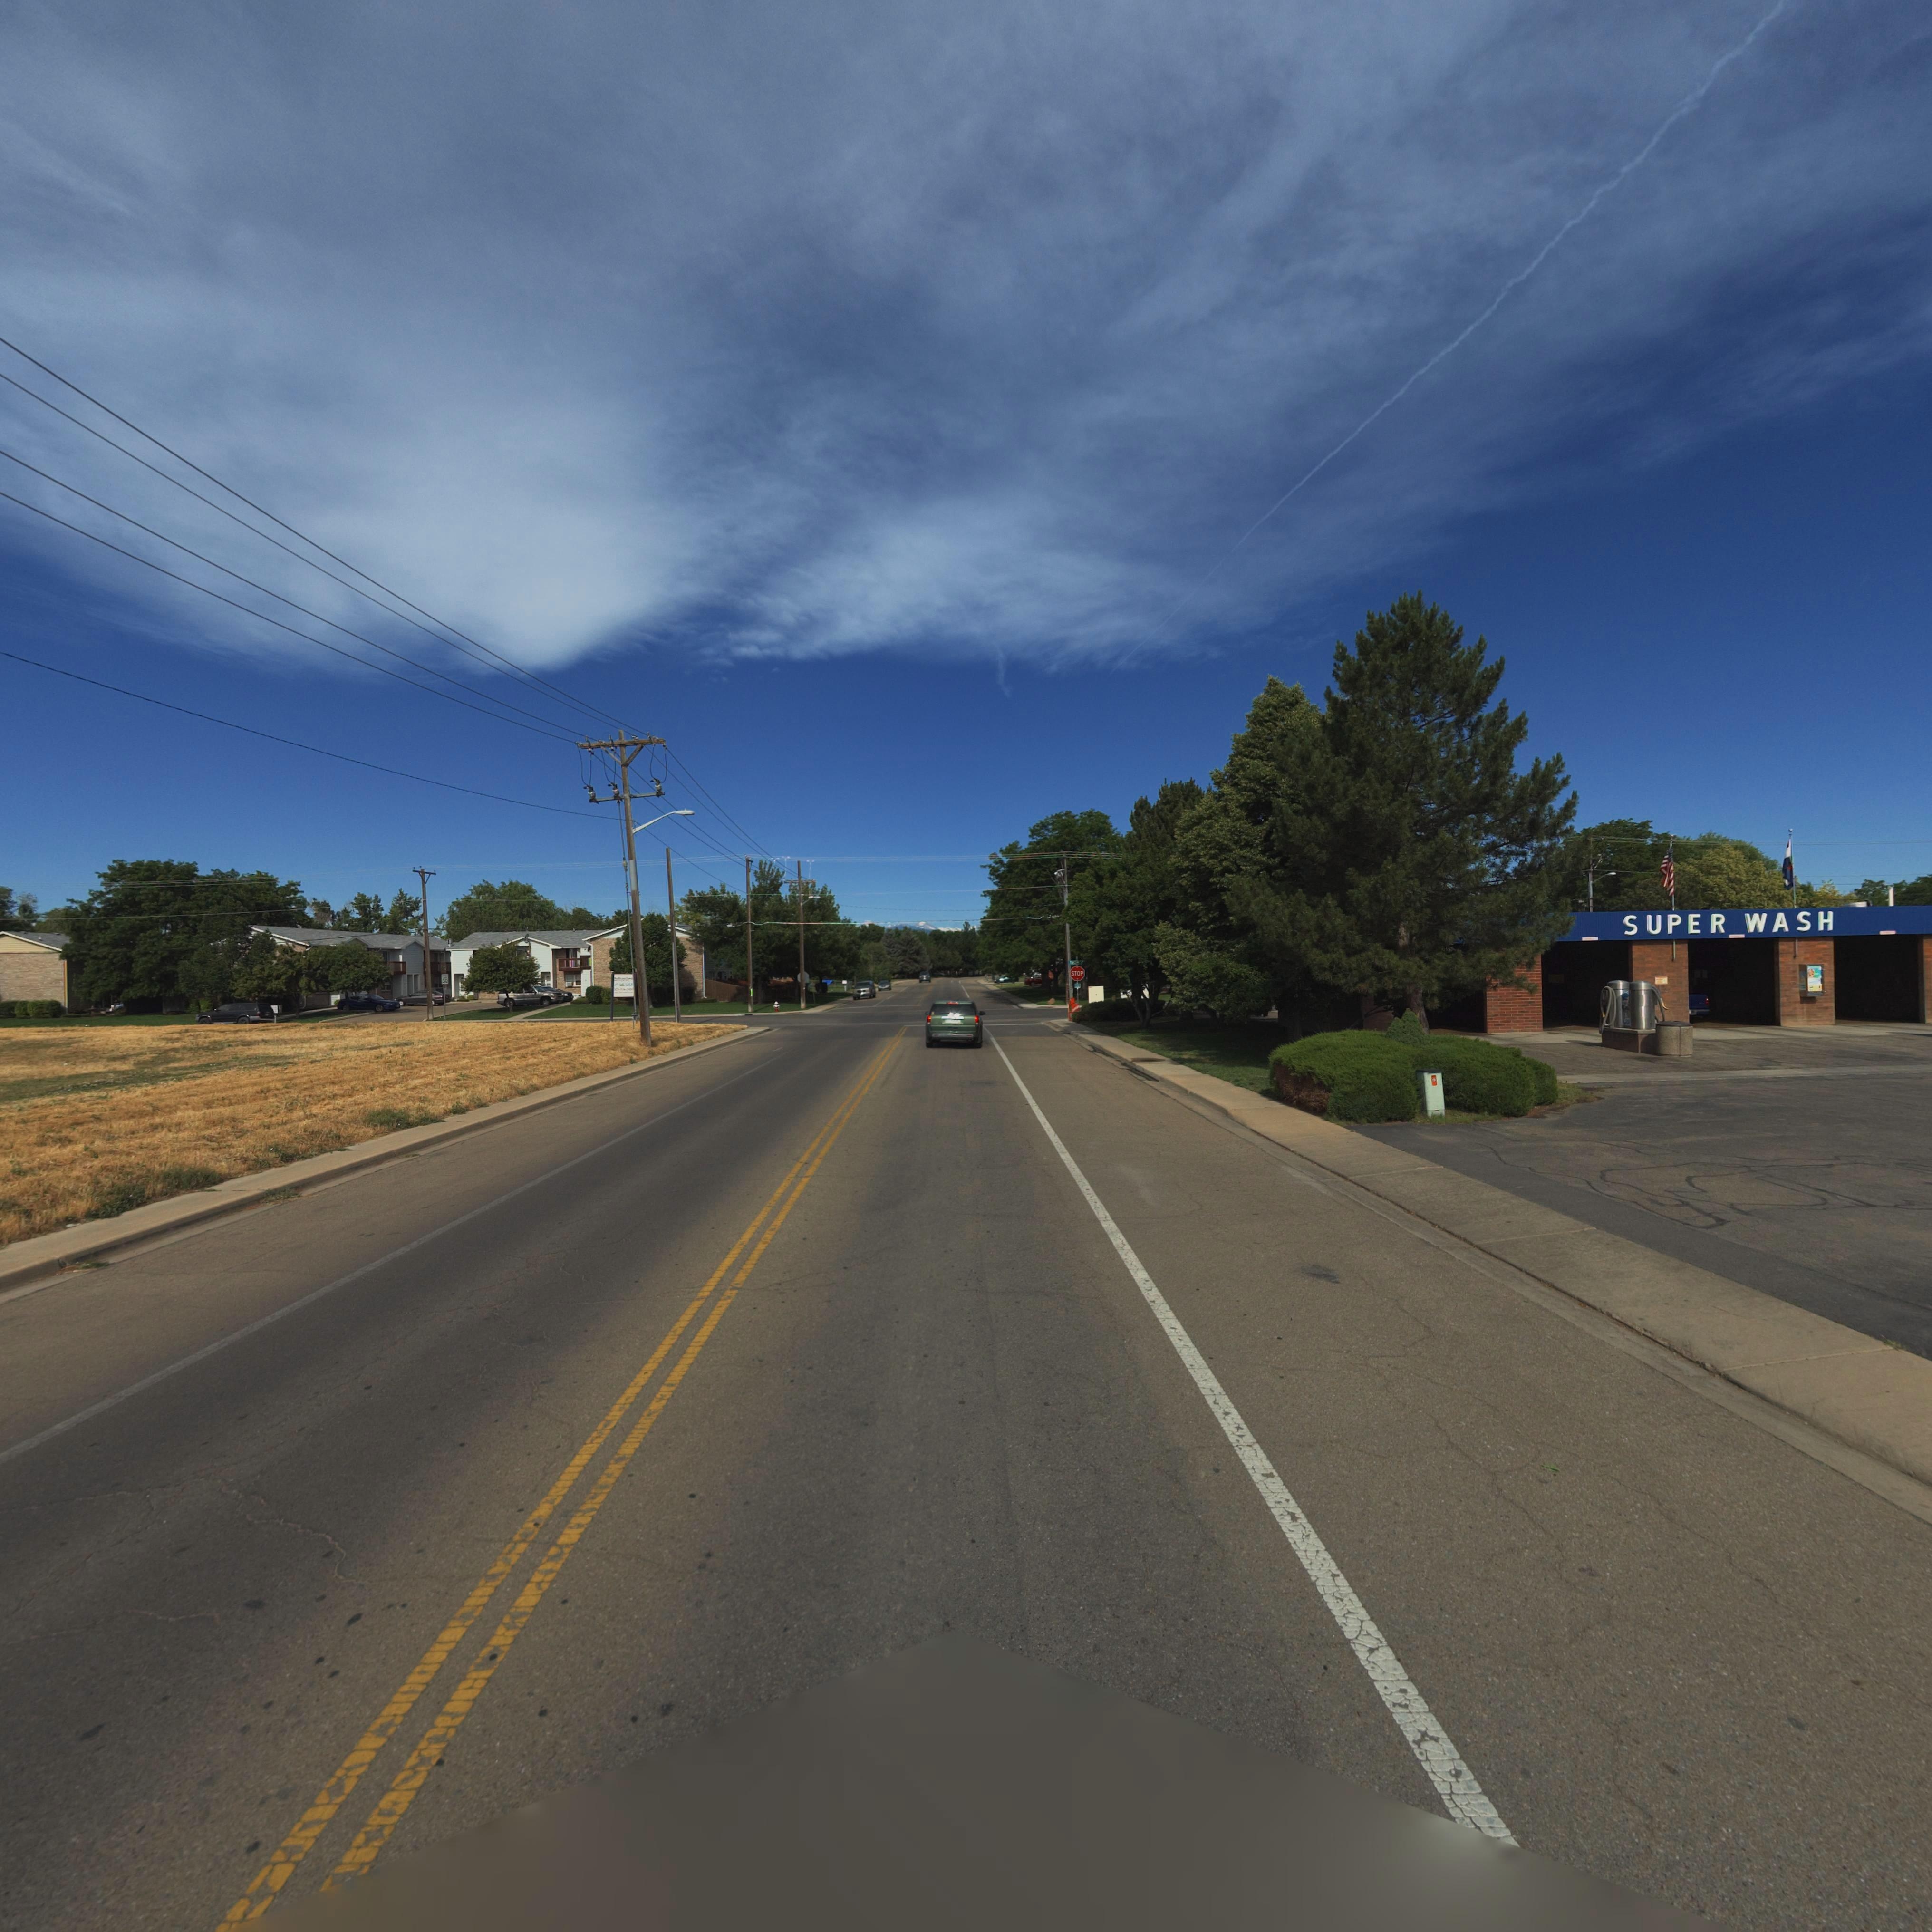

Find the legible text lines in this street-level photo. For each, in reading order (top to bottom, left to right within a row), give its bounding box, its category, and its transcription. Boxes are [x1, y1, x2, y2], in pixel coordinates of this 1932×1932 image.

[1623, 910, 1834, 937] BusinessName: SUPER WASH